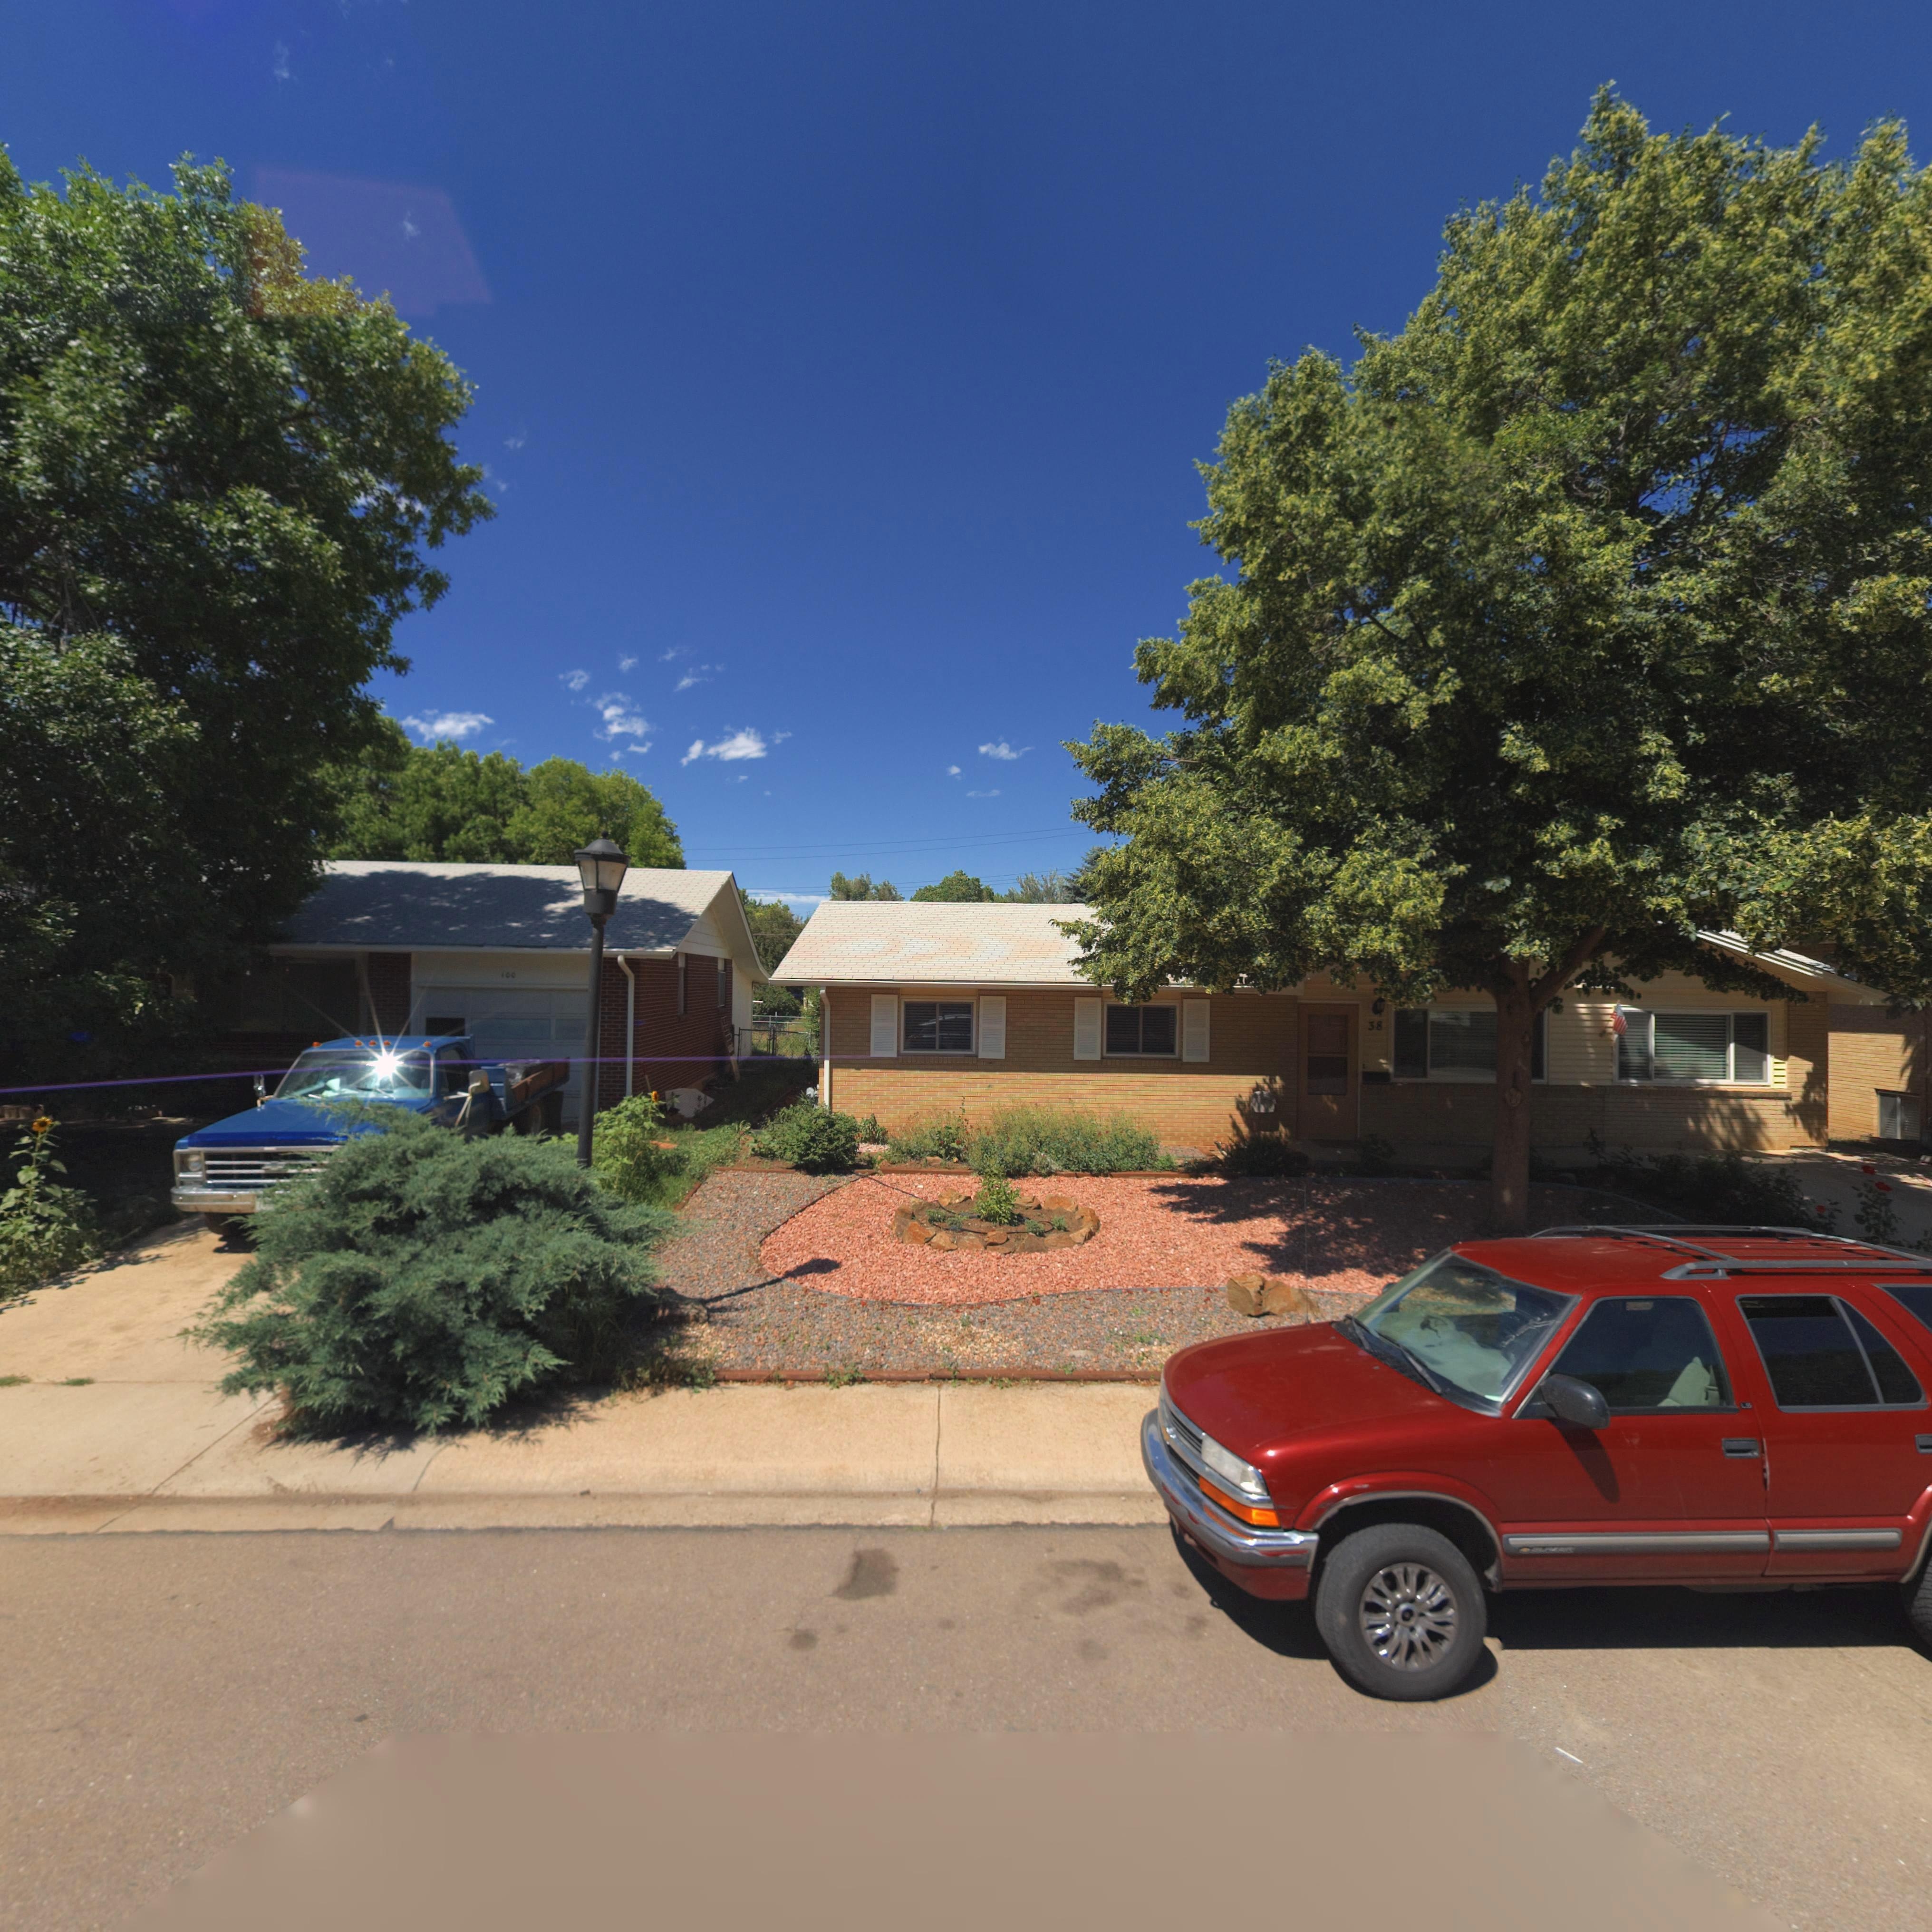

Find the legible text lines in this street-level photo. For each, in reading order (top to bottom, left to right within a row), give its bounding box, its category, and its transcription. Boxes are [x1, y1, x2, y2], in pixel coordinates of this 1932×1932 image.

[501, 971, 516, 978] StreetNumber: 100
[1367, 1020, 1383, 1031] StreetNumber: 38